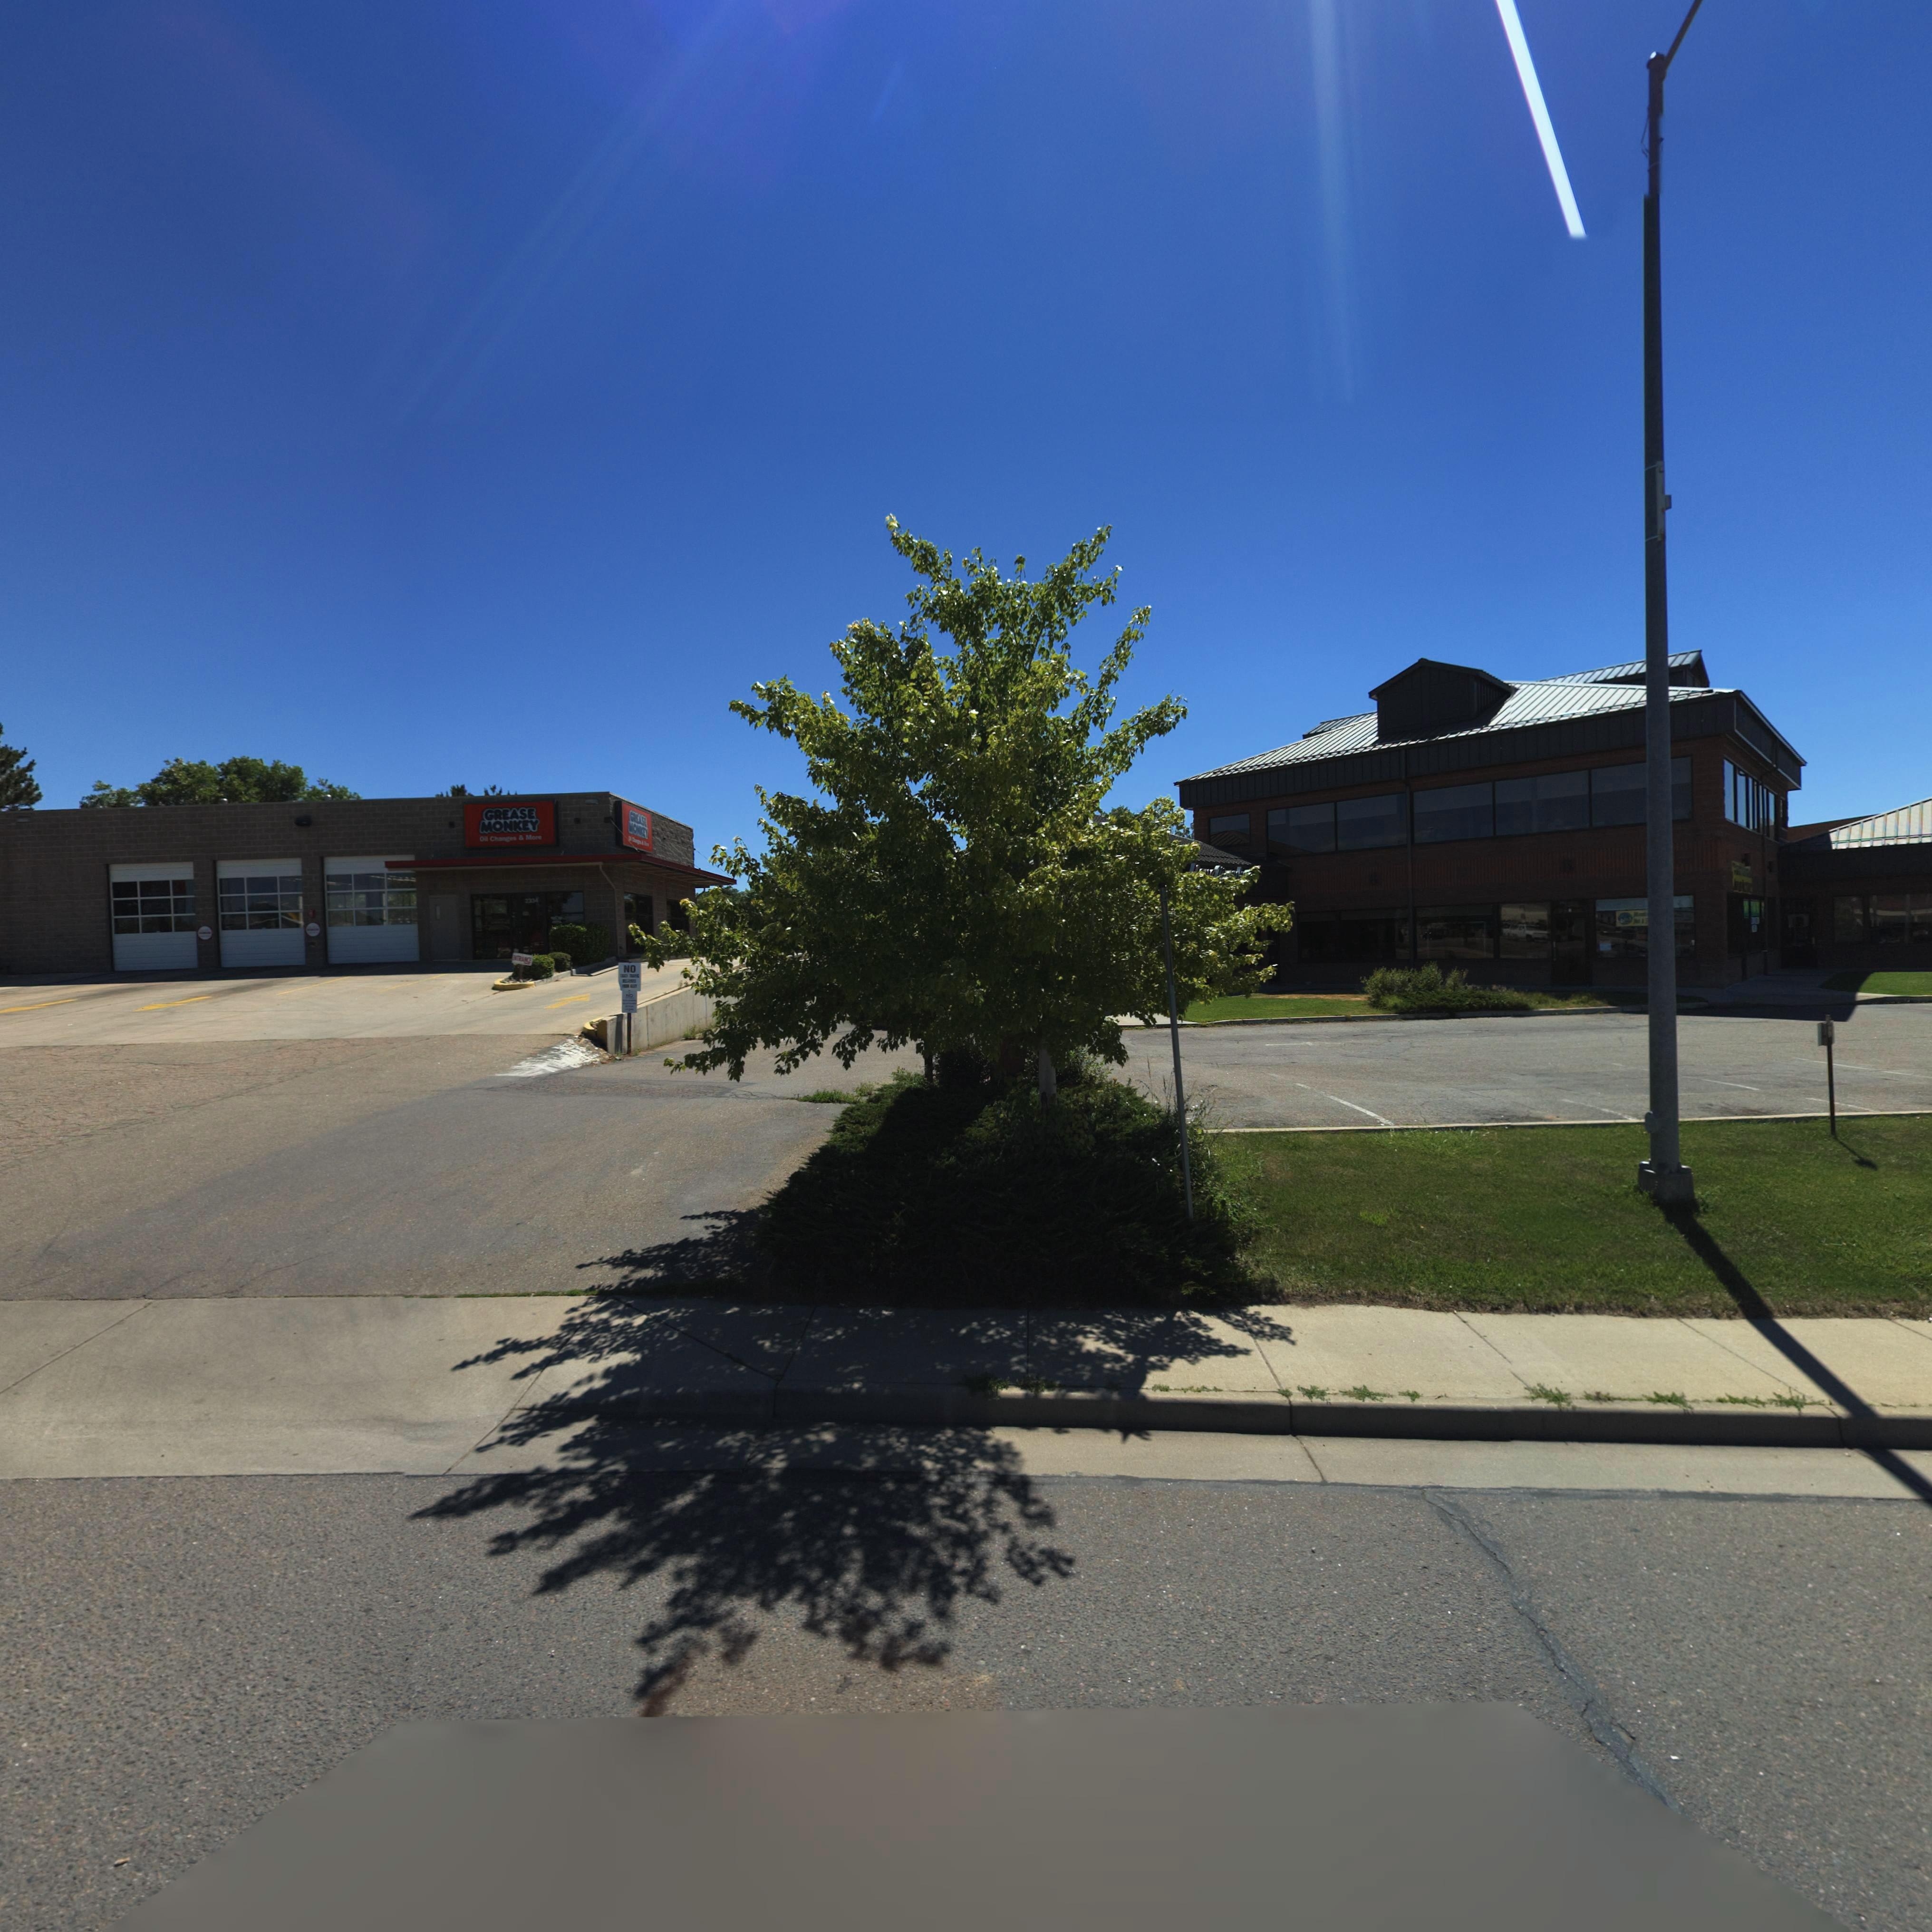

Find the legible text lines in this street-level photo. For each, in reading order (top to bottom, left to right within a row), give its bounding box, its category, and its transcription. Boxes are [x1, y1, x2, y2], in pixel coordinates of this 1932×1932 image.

[483, 807, 536, 821] BusinessName: GREASE
[480, 818, 540, 834] BusinessName: MONKEY
[628, 810, 647, 827] BusinessName: G*EASE
[628, 821, 648, 839] BusinessName: MO**EY
[1732, 861, 1752, 879] BusinessName: C*******
[1733, 878, 1752, 893] BusinessName: ***ks****
[524, 898, 539, 903] StreetNumber: 2334
[1632, 917, 1648, 925] BusinessName: N** * F
[1633, 911, 1648, 918] BusinessName: M****